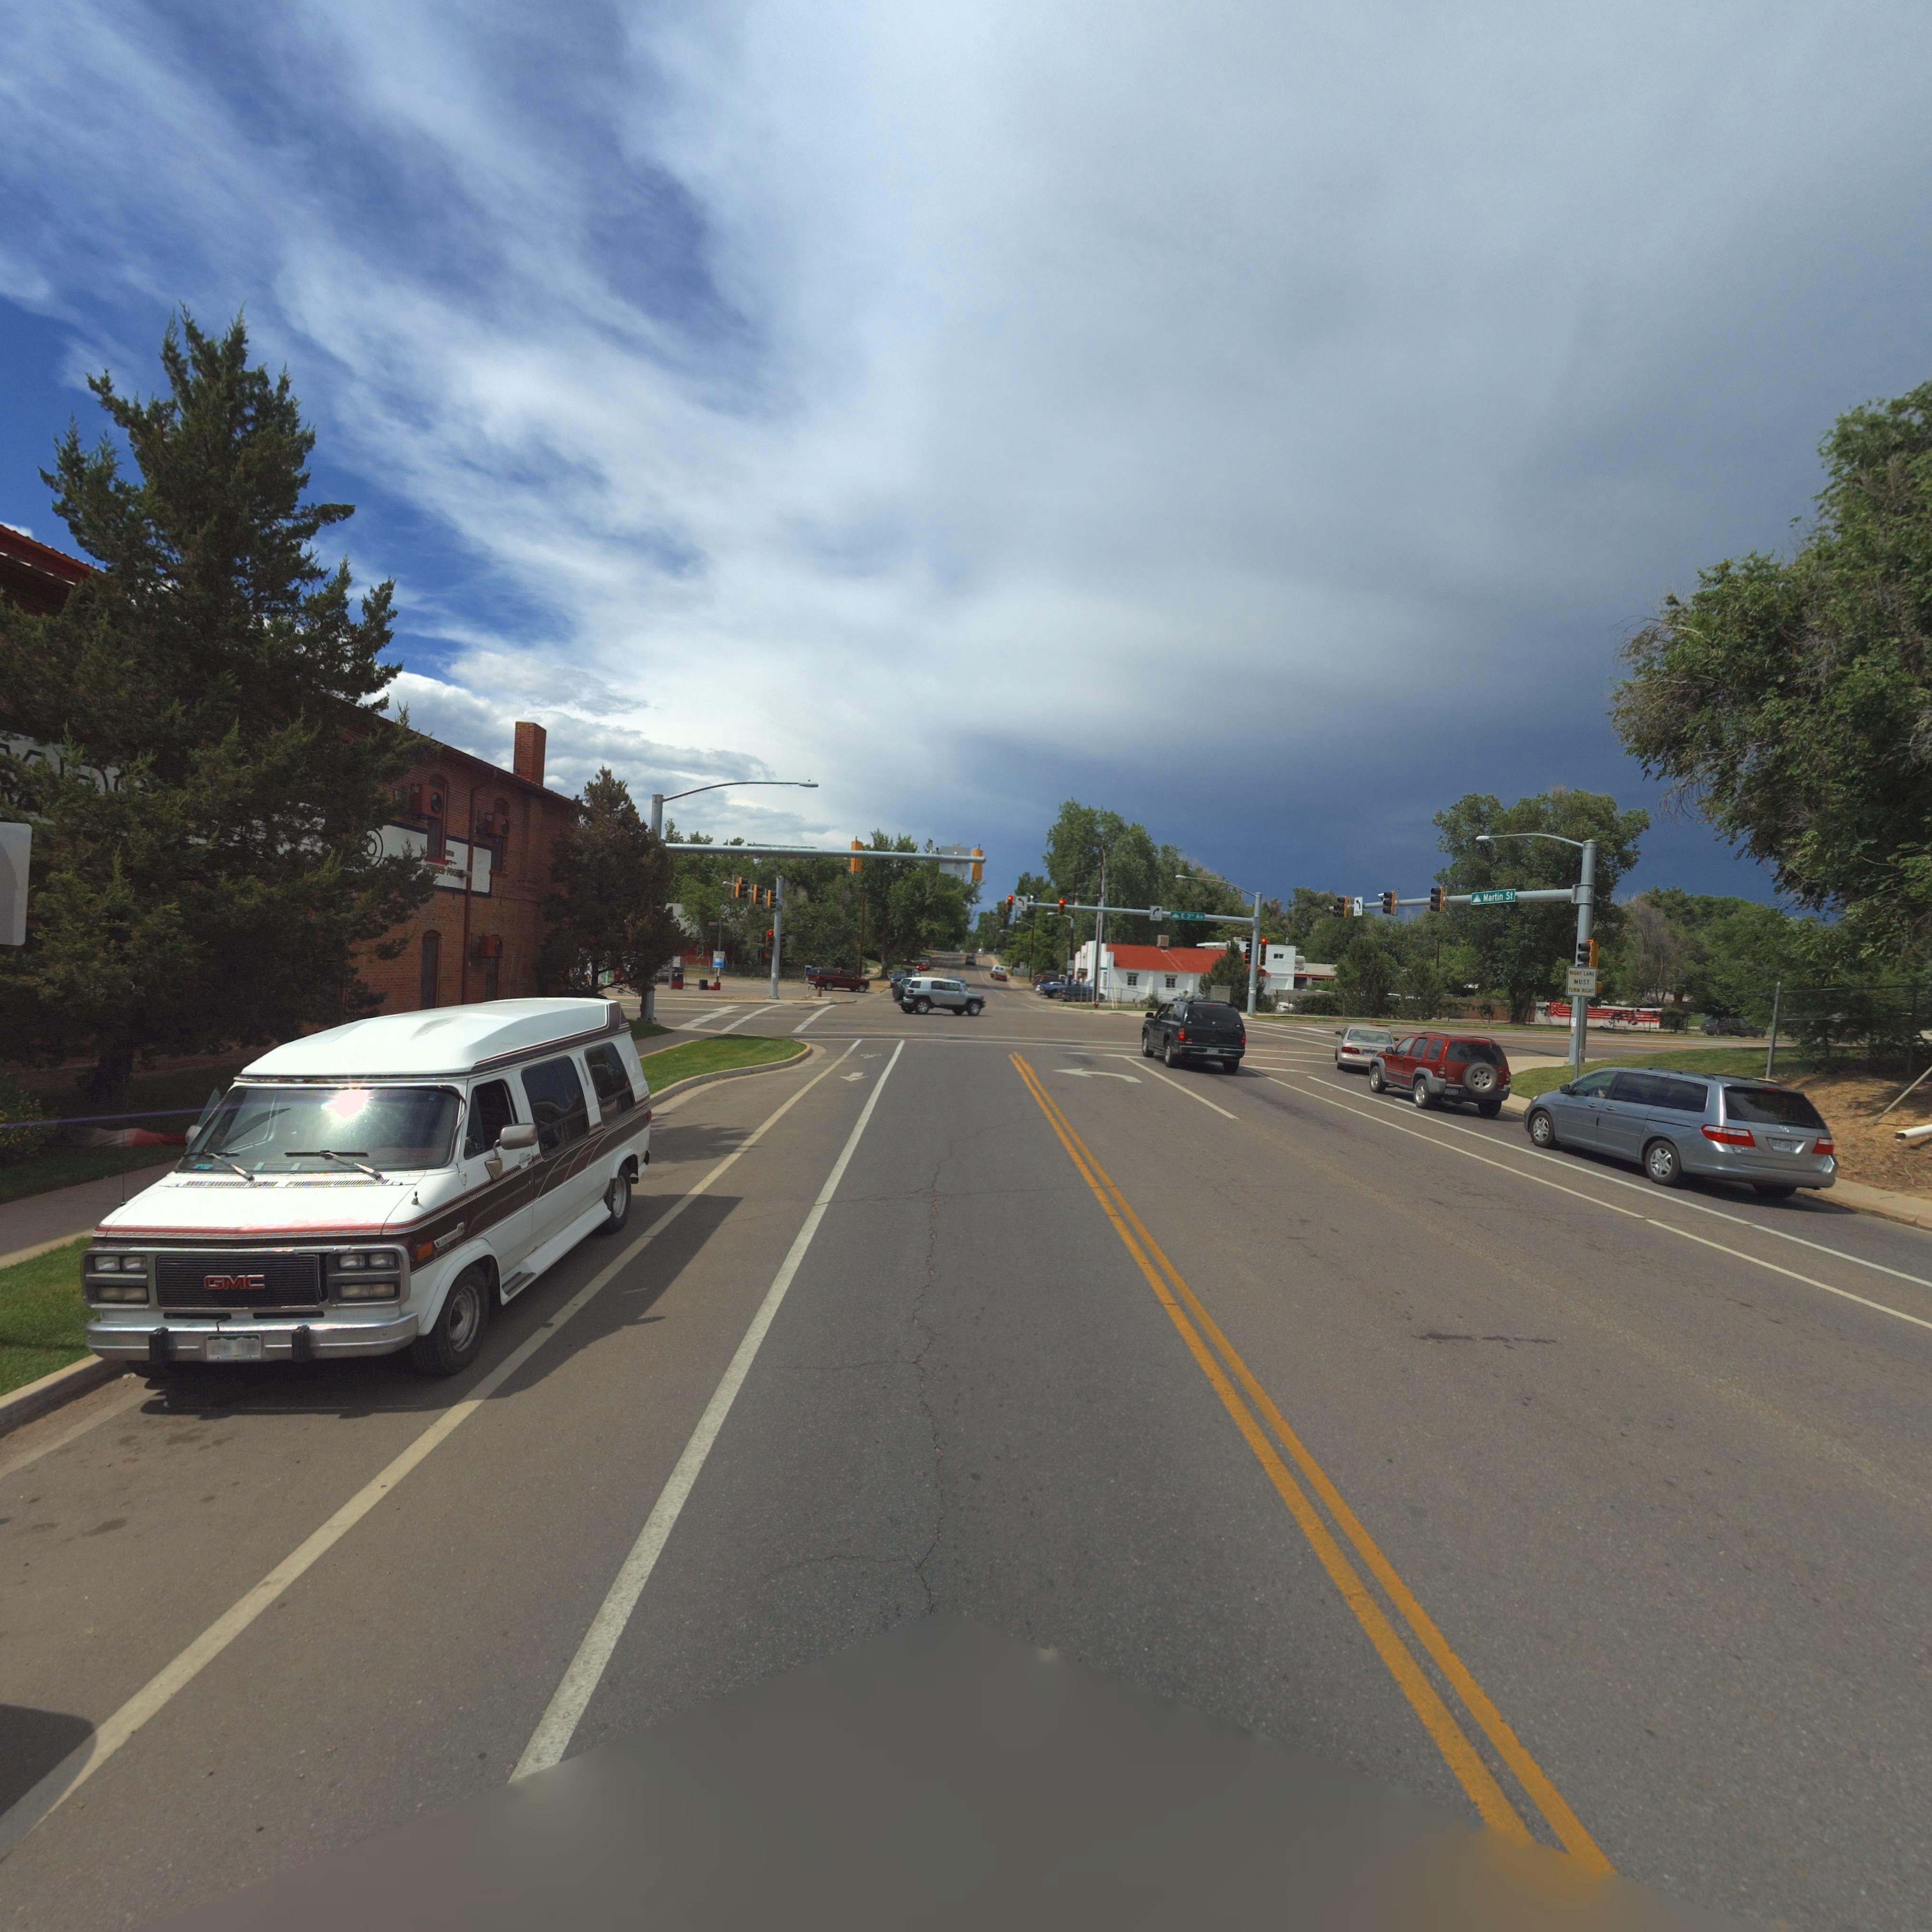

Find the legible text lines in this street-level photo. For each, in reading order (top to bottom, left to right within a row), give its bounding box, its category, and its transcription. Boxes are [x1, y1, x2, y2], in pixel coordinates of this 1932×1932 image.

[1483, 891, 1513, 902] StreetName: Martin St
[1179, 912, 1204, 919] StreetName: E 3rd Av